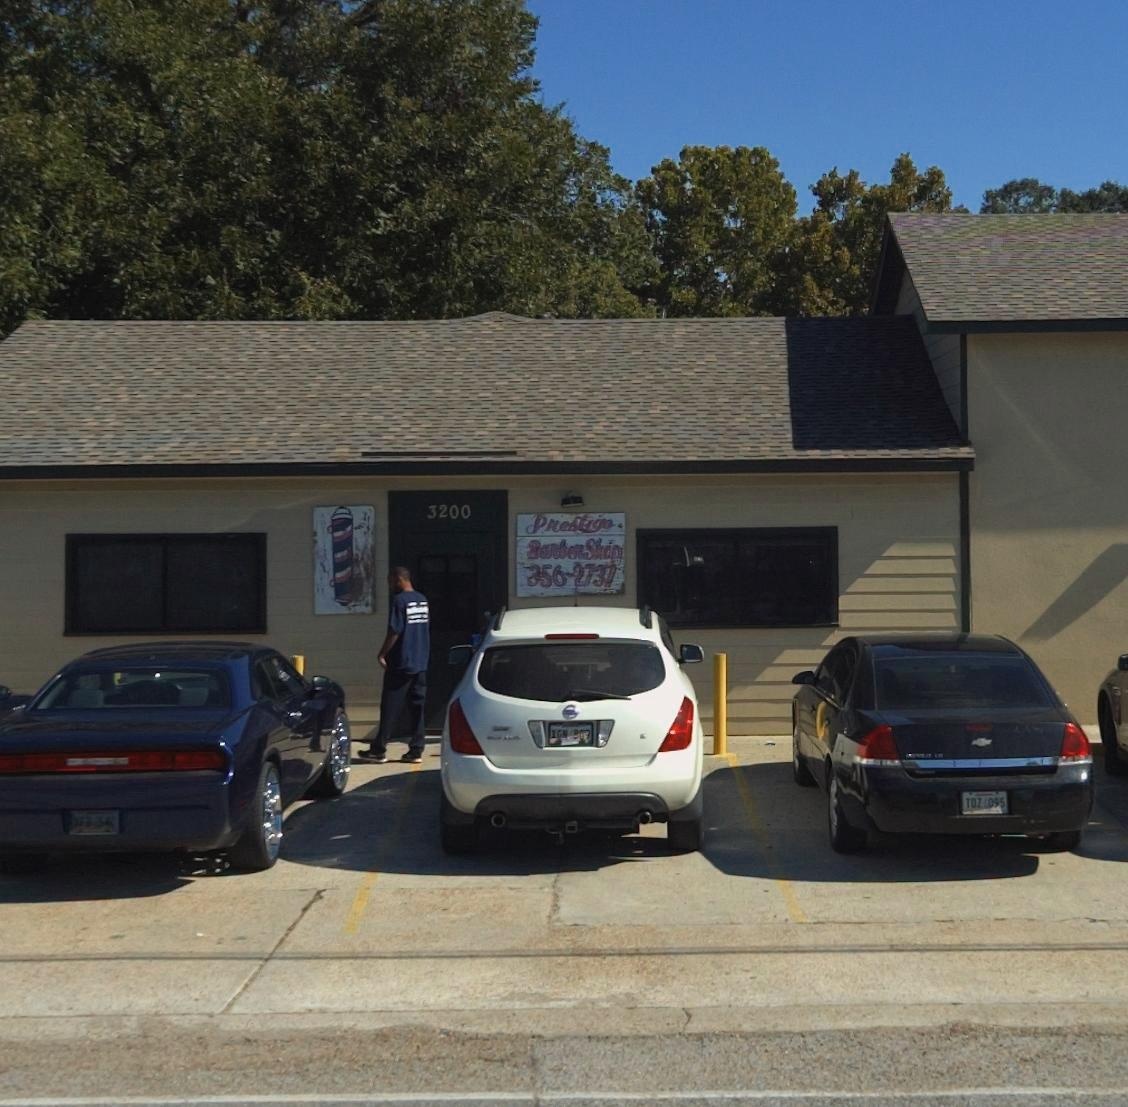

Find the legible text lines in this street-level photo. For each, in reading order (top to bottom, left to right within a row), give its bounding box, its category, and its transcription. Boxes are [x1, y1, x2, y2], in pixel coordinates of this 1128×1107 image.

[424, 502, 474, 521] StreetNumber: 3200
[522, 511, 618, 536] BusinessName: Prestige
[522, 536, 625, 564] BusinessName: Barber Shop
[525, 561, 623, 591] None: 356-2737
[549, 727, 592, 744] None: IGN***
[963, 795, 1008, 810] None: T*Z***